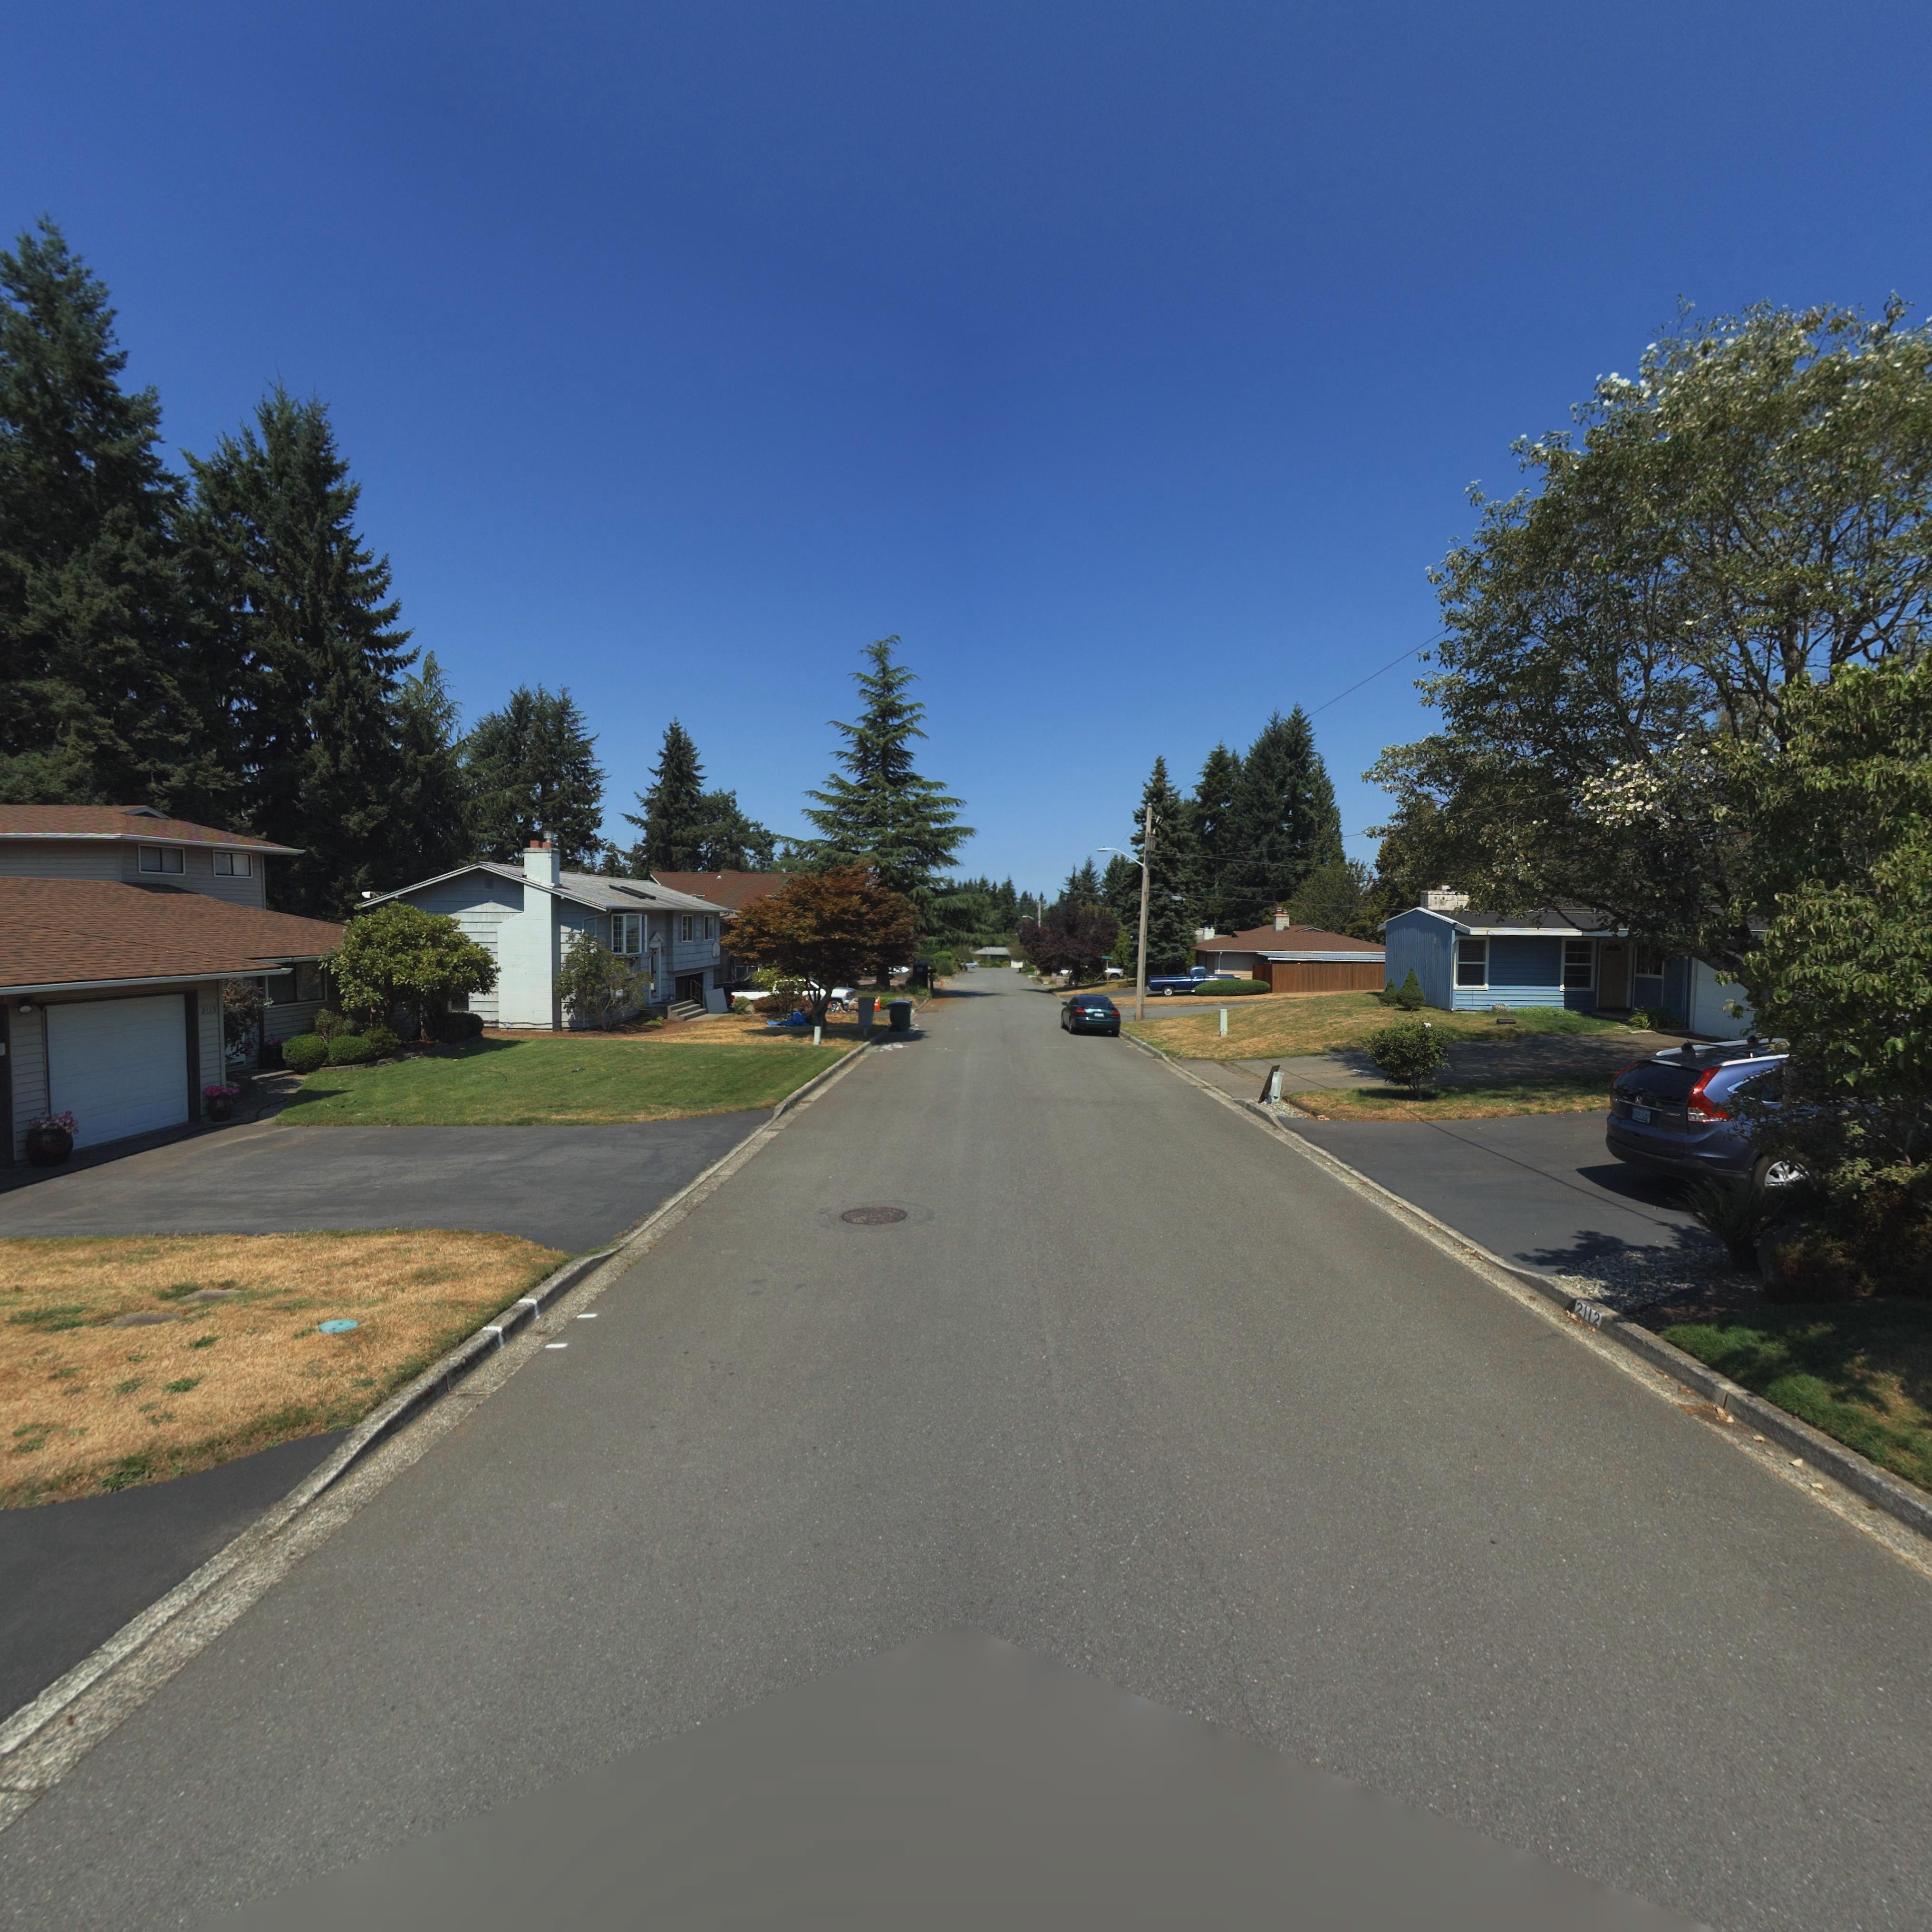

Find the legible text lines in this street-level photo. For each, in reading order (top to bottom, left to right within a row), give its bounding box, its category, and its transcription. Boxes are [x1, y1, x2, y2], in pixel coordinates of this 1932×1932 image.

[198, 1004, 217, 1015] StreetNumber: 2115